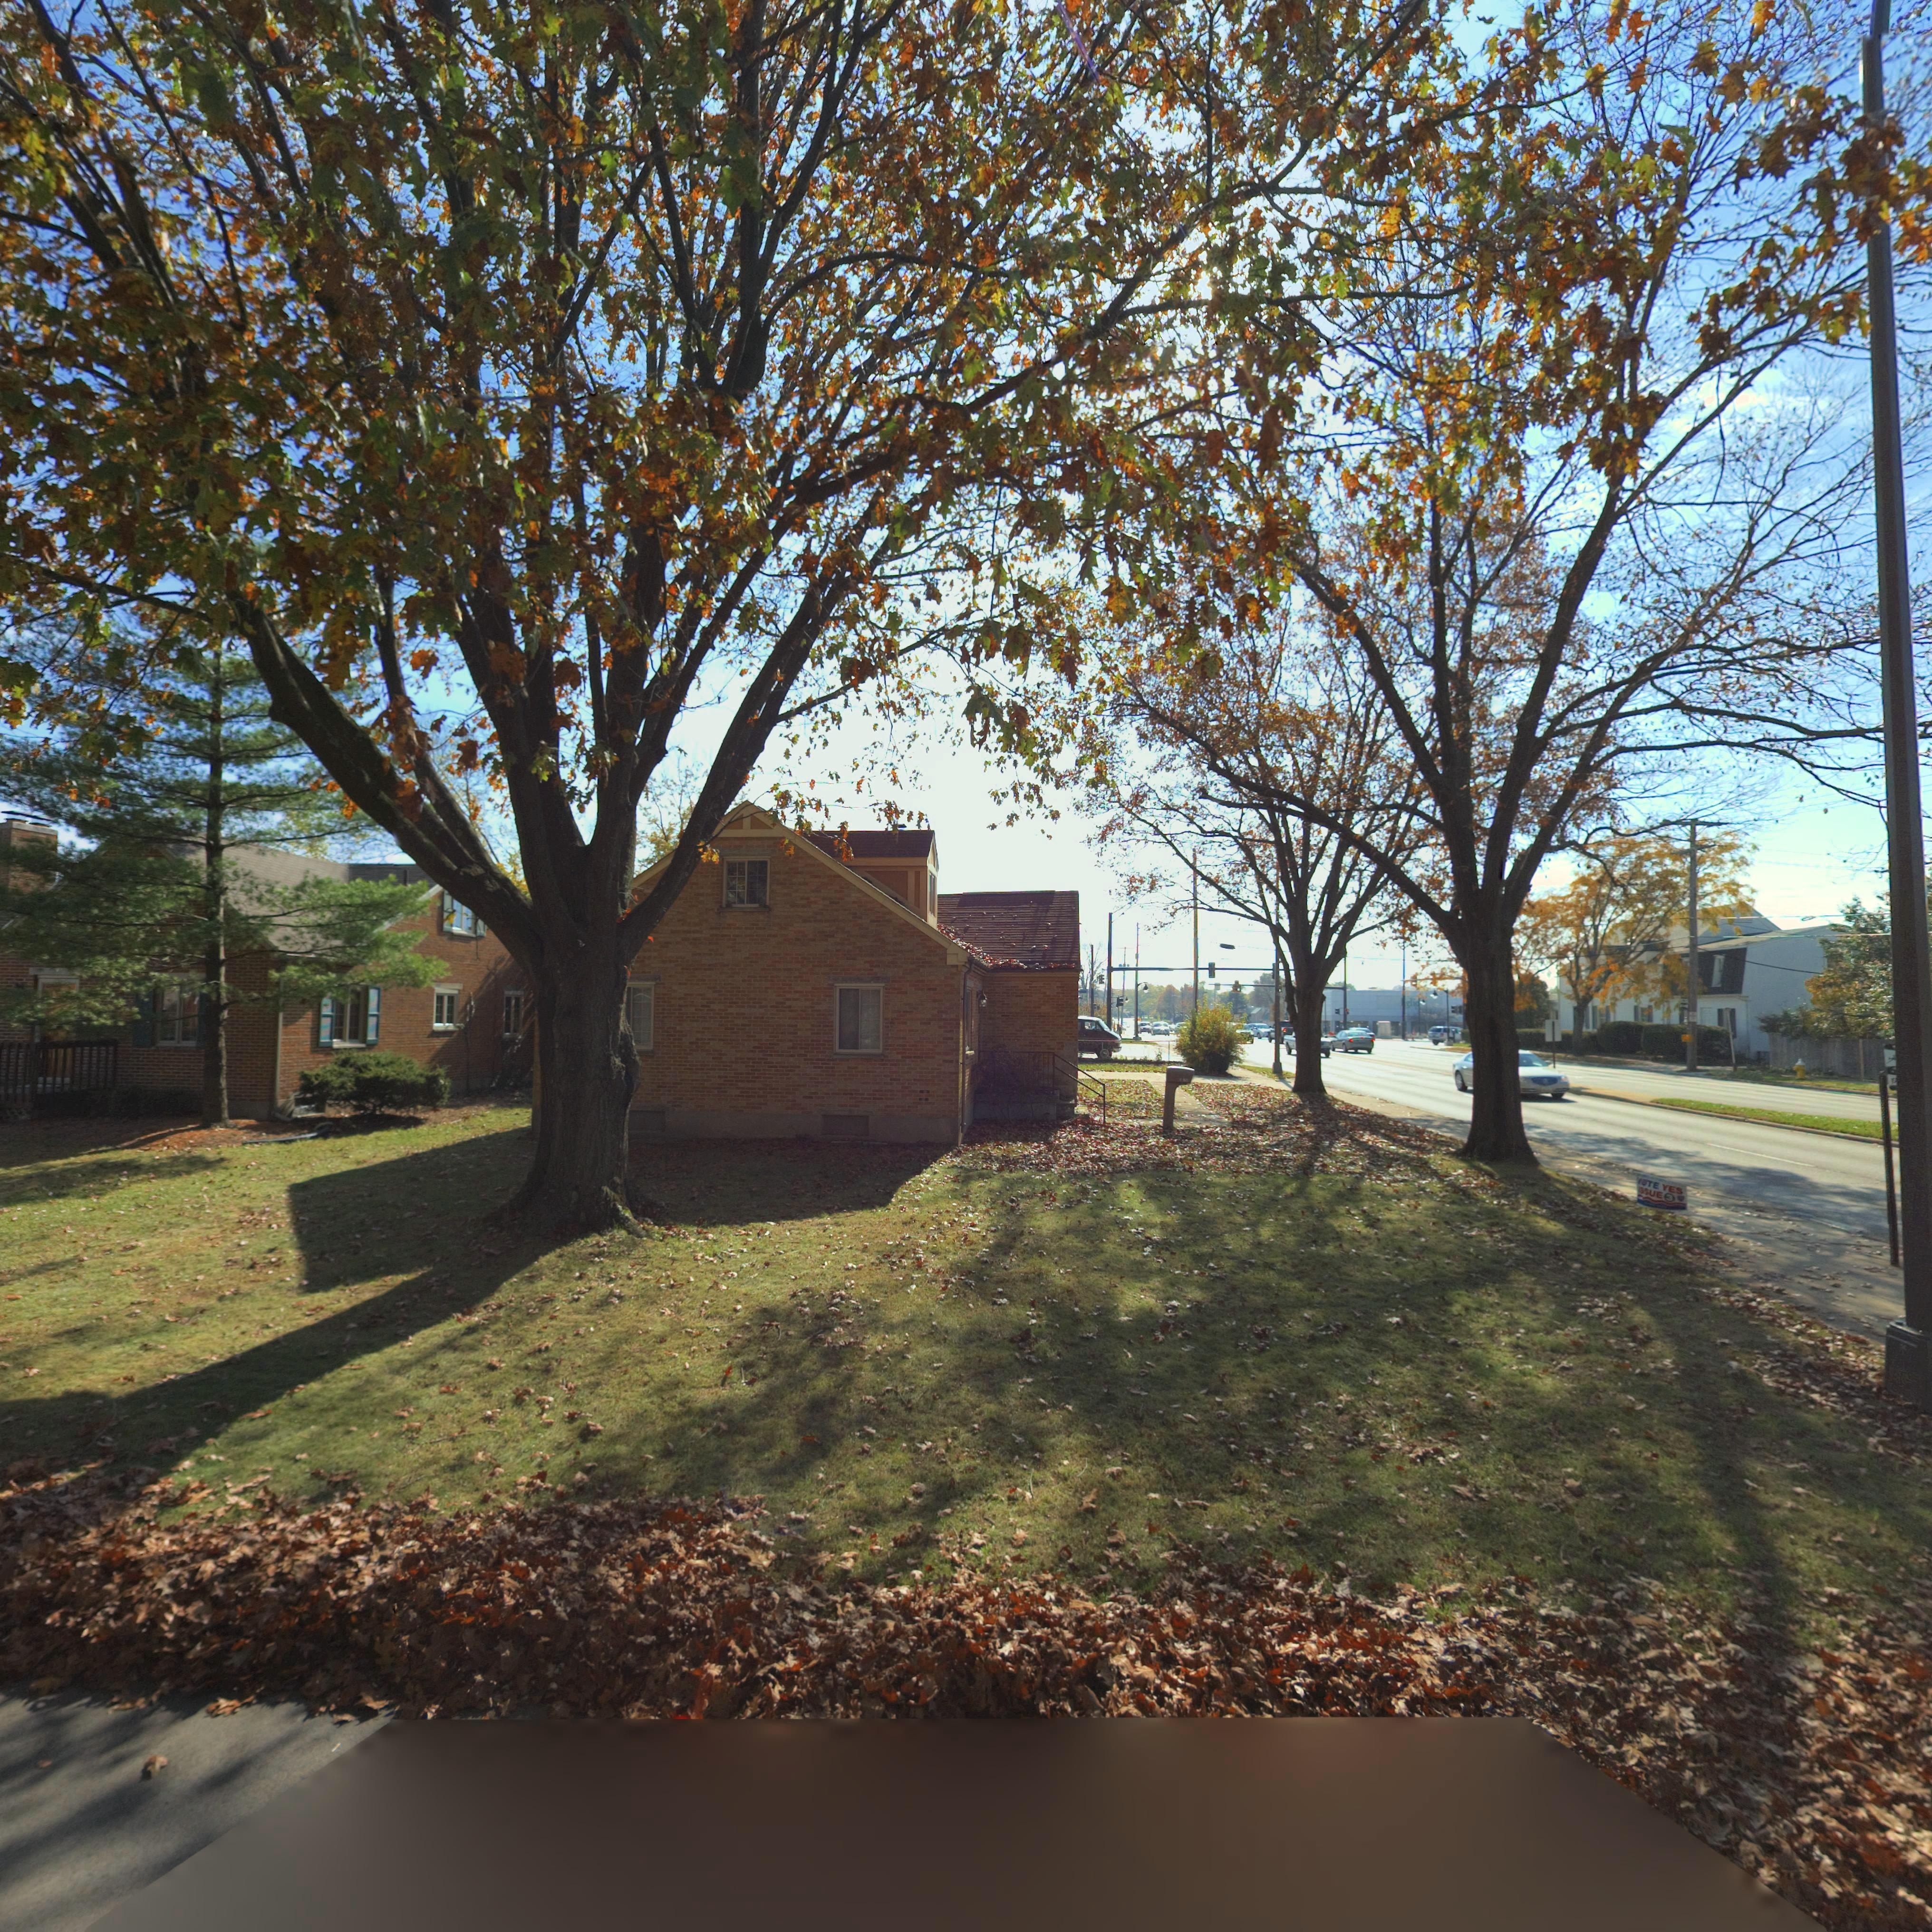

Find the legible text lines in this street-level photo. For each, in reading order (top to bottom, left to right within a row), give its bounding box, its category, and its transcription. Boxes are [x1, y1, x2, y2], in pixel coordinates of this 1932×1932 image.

[1638, 1186, 1673, 1202] None: ISSUE 3
[1647, 1179, 1683, 1196] None: TE YES